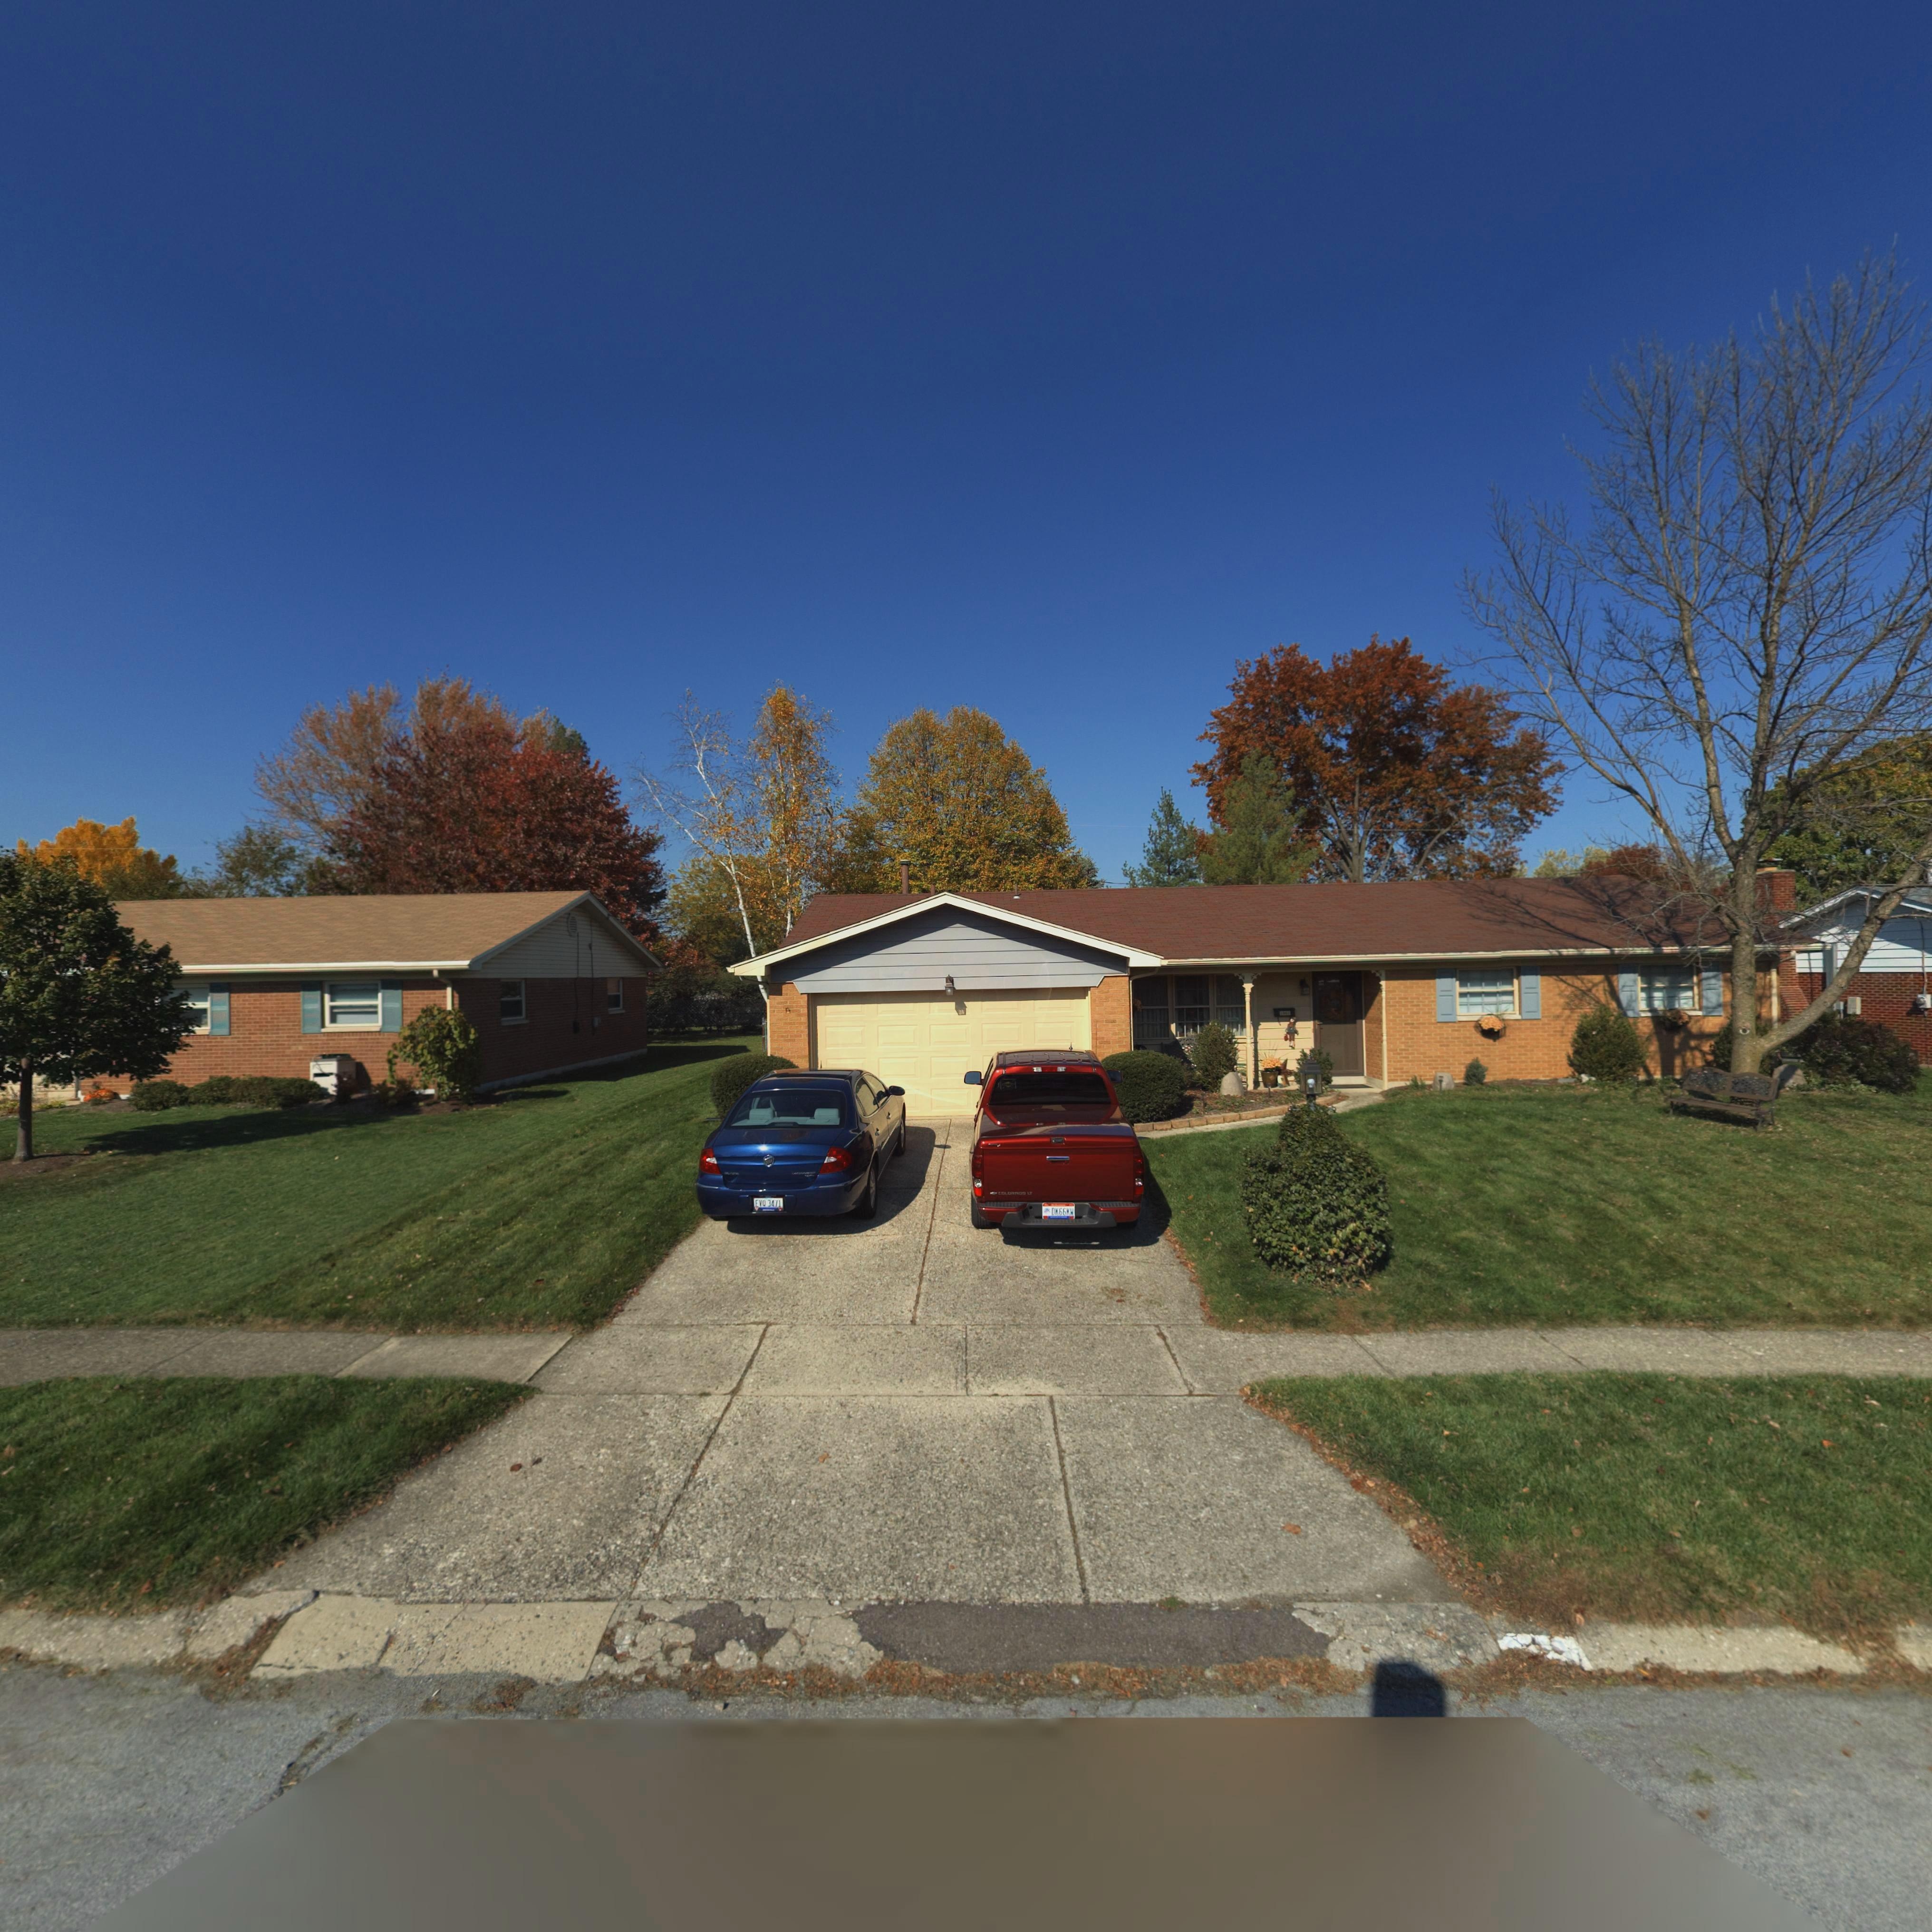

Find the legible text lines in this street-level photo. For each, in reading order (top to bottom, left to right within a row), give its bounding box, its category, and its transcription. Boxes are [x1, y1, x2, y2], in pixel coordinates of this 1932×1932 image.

[1280, 1011, 1290, 1015] StreetNumber: 1001